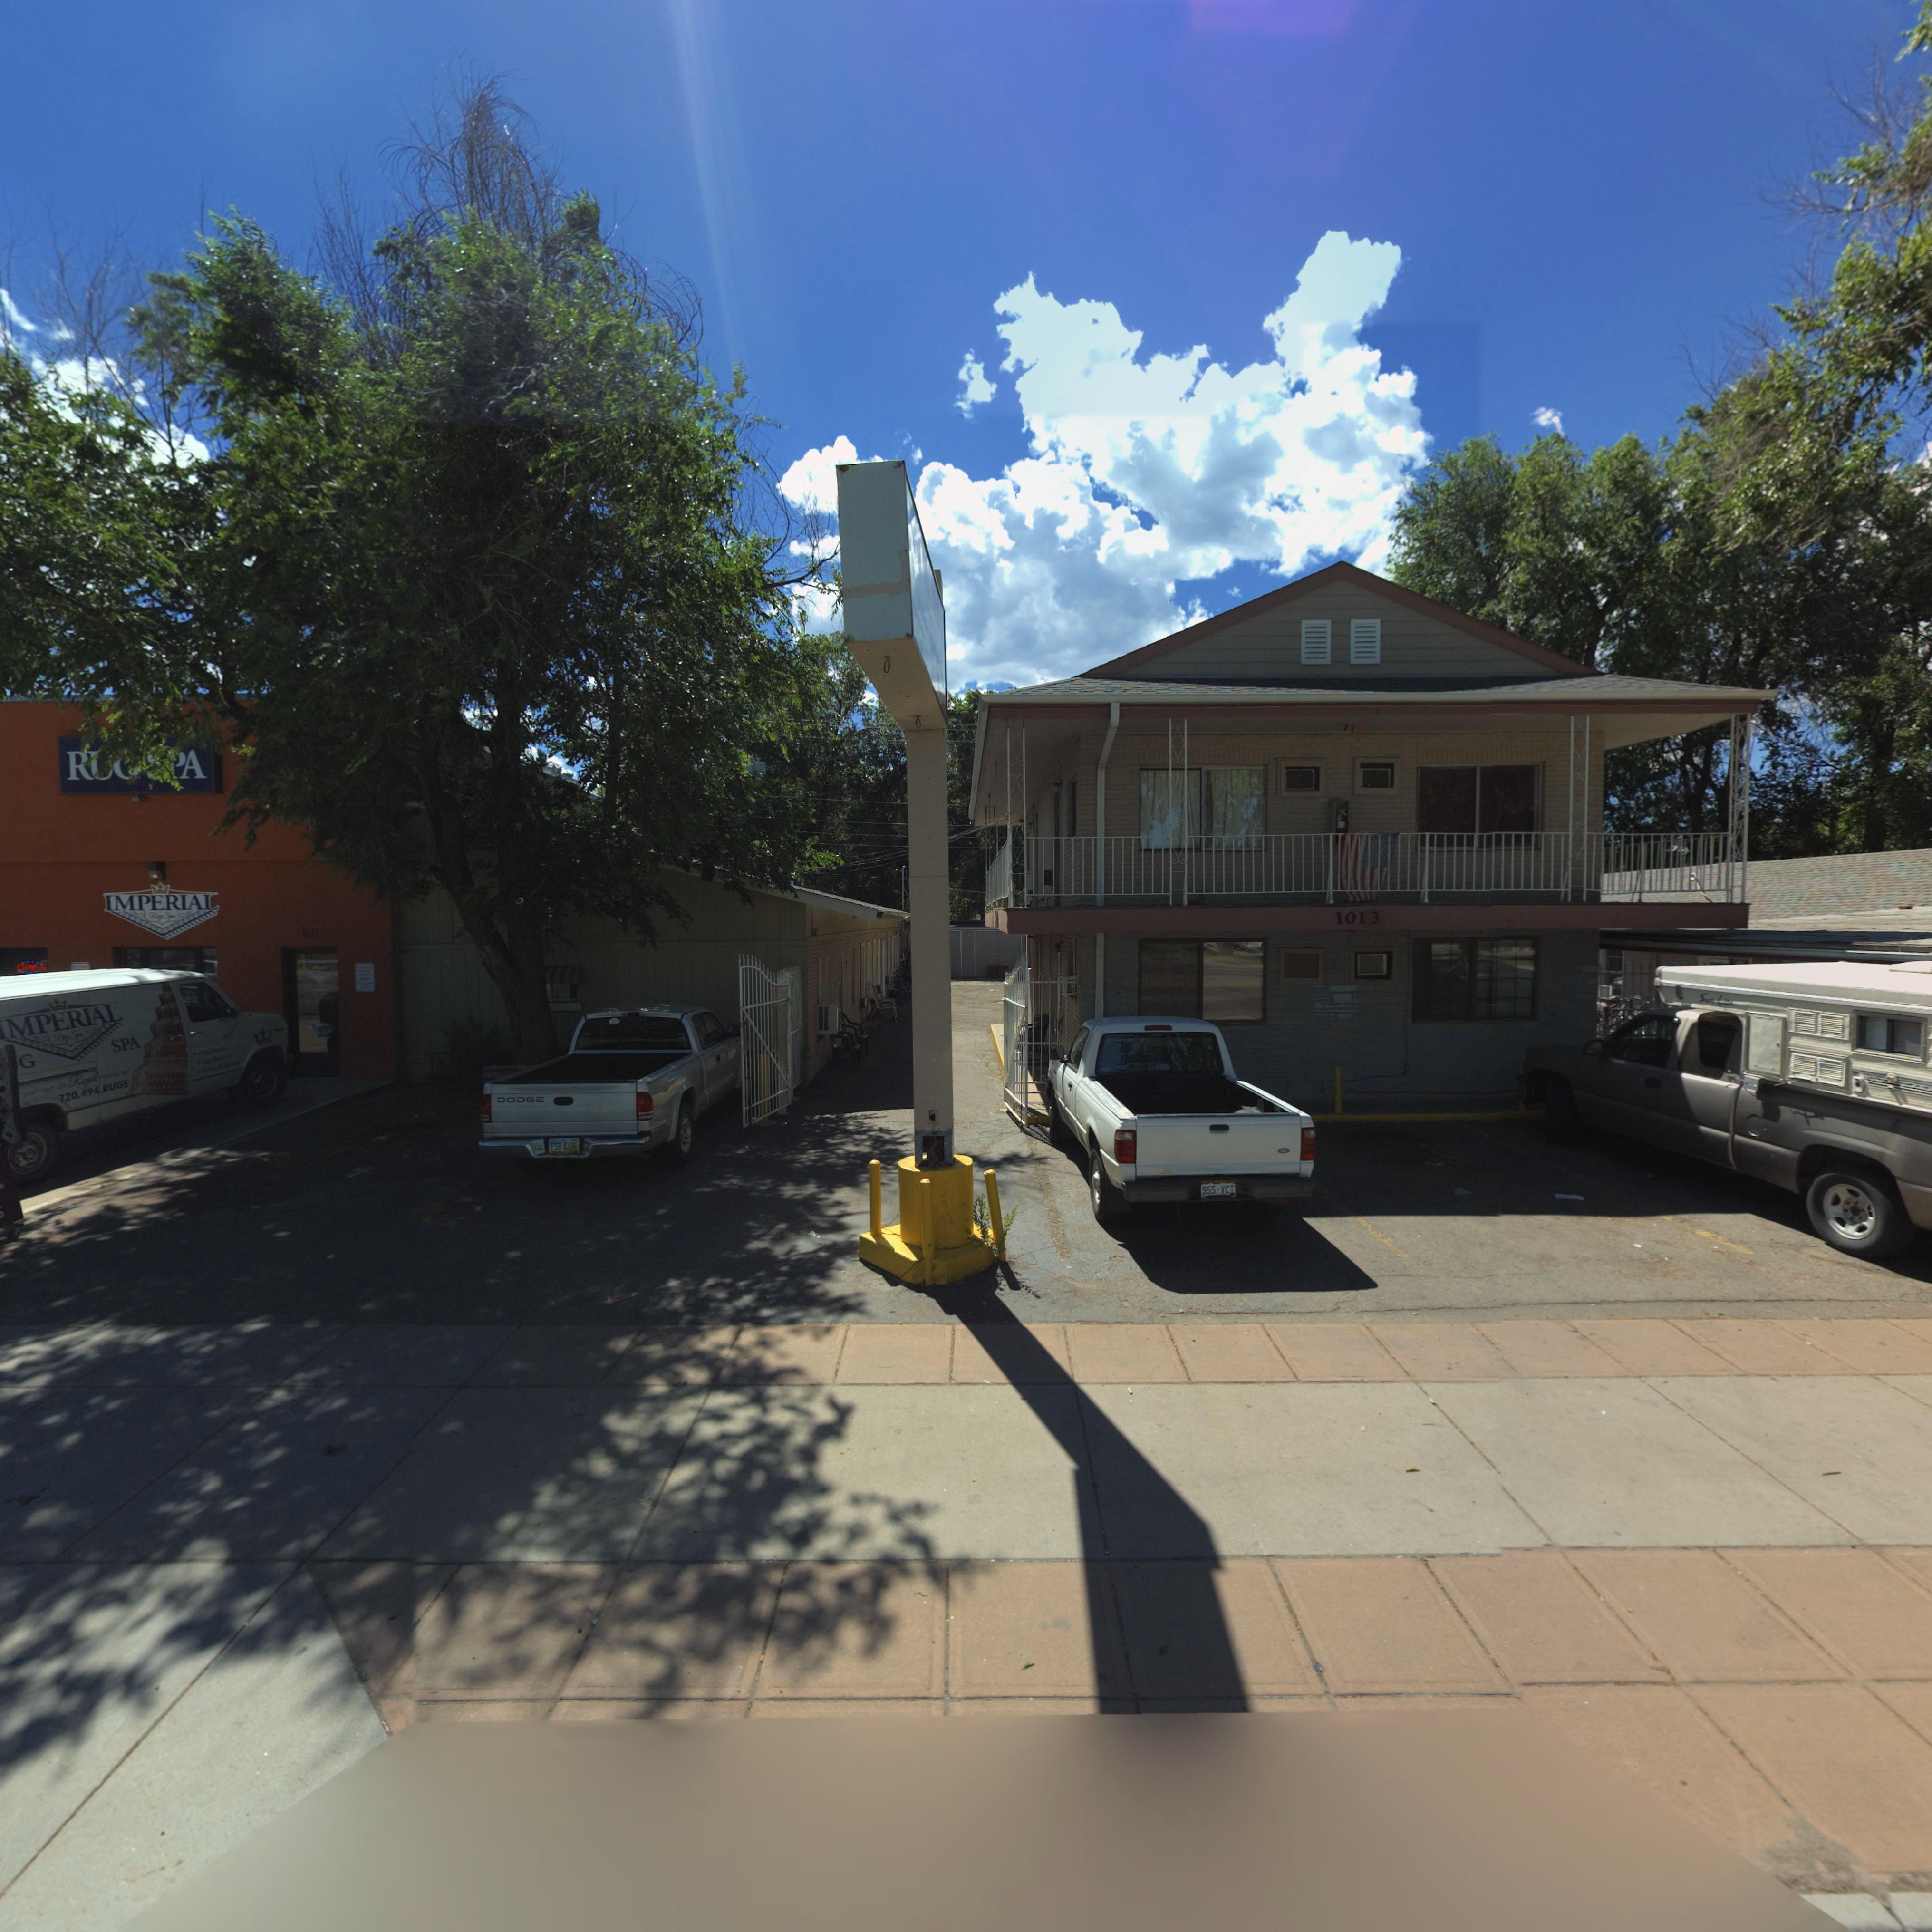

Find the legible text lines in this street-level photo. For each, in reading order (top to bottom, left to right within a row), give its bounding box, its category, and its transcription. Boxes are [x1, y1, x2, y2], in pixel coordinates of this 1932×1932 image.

[65, 749, 208, 781] BusinessName: RU* *PA
[104, 894, 218, 911] BusinessName: IMPERIAL
[147, 911, 176, 921] BusinessName: Rug Spa
[1335, 910, 1380, 925] StreetNumber: 1013